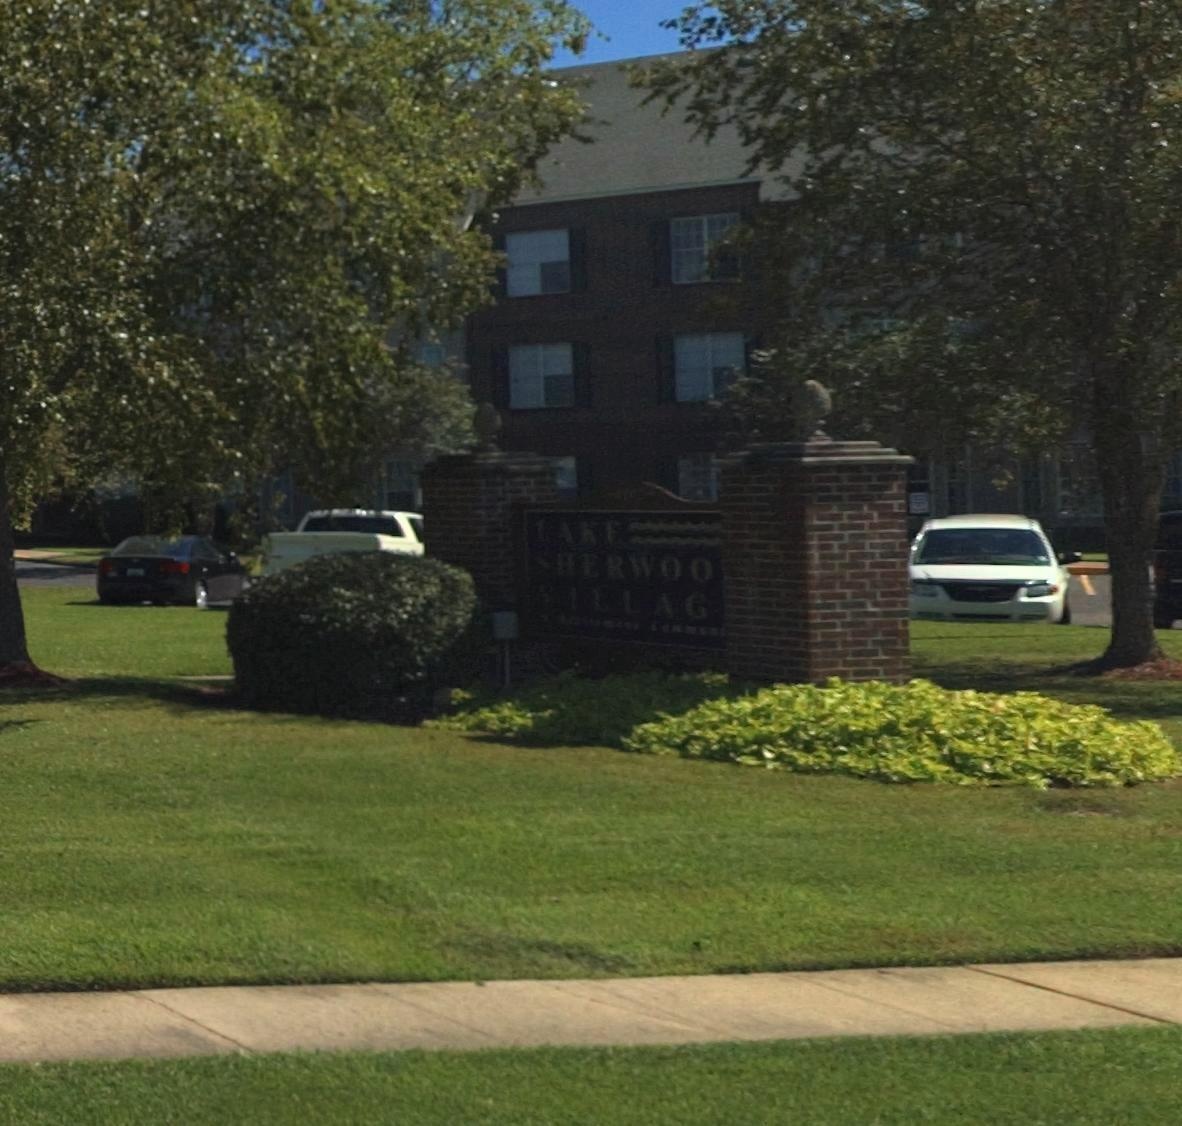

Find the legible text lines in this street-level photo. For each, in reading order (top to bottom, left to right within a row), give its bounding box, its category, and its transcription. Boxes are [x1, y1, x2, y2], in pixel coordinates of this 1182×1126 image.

[534, 516, 622, 551] BusinessName: LAKE
[552, 549, 718, 586] BusinessName: HERWOO
[564, 582, 713, 624] BusinessName: ILLAG